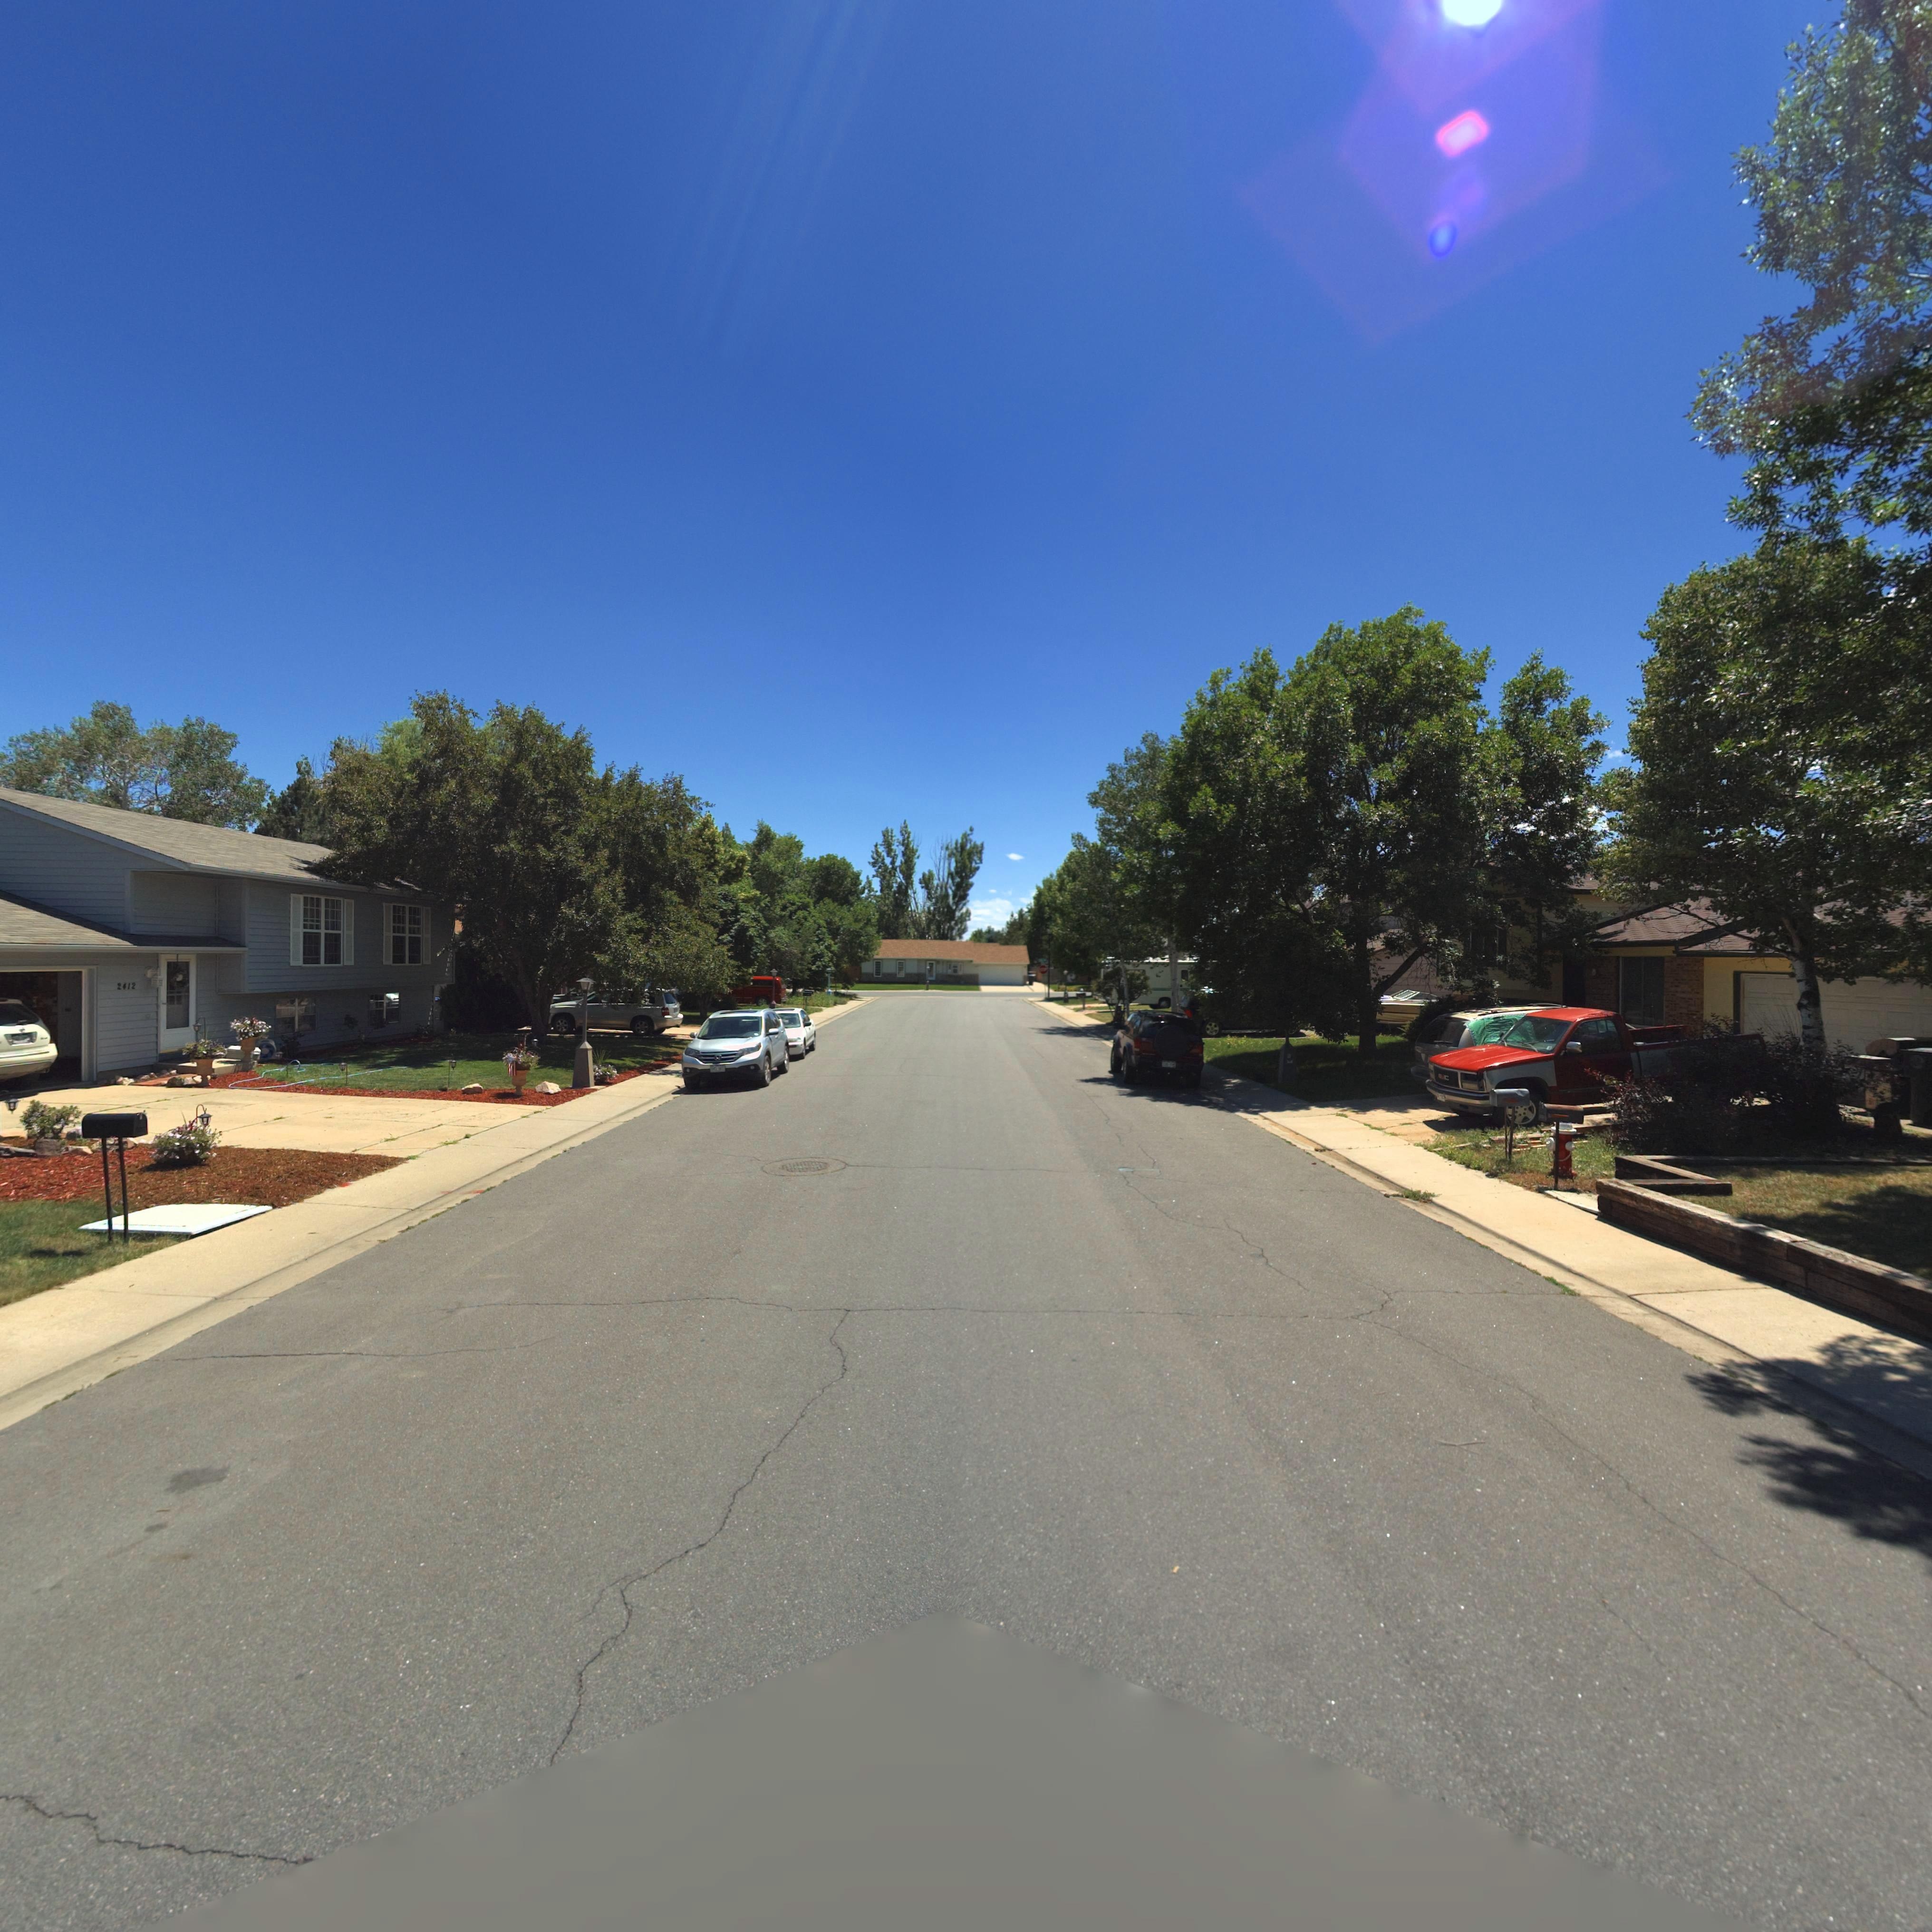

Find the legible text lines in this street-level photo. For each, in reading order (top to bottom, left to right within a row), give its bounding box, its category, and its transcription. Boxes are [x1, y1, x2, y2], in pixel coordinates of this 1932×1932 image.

[117, 982, 135, 990] StreetNumber: 2412